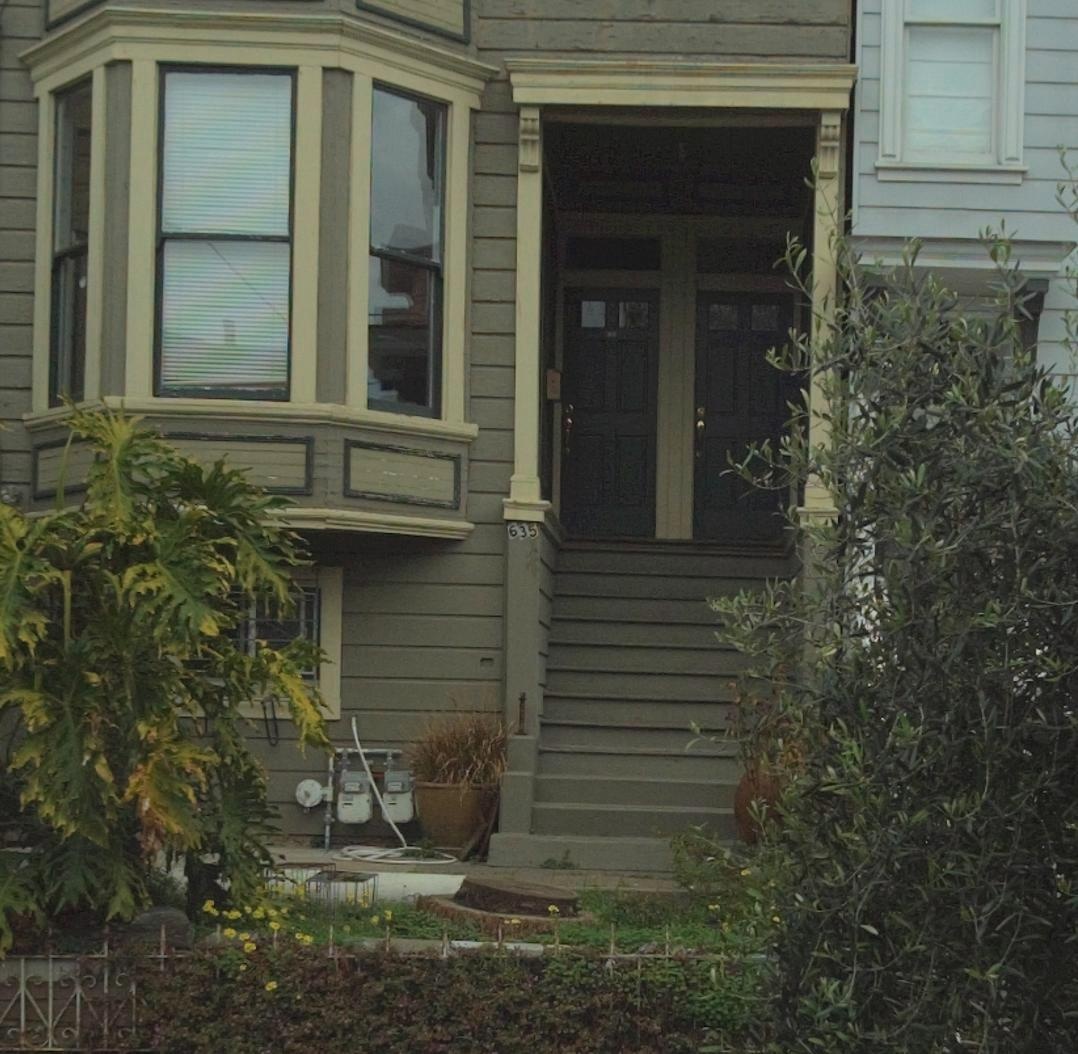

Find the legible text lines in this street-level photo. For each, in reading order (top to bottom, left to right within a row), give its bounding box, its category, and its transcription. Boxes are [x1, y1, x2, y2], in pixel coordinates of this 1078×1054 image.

[508, 524, 538, 539] StreetNumber: 635